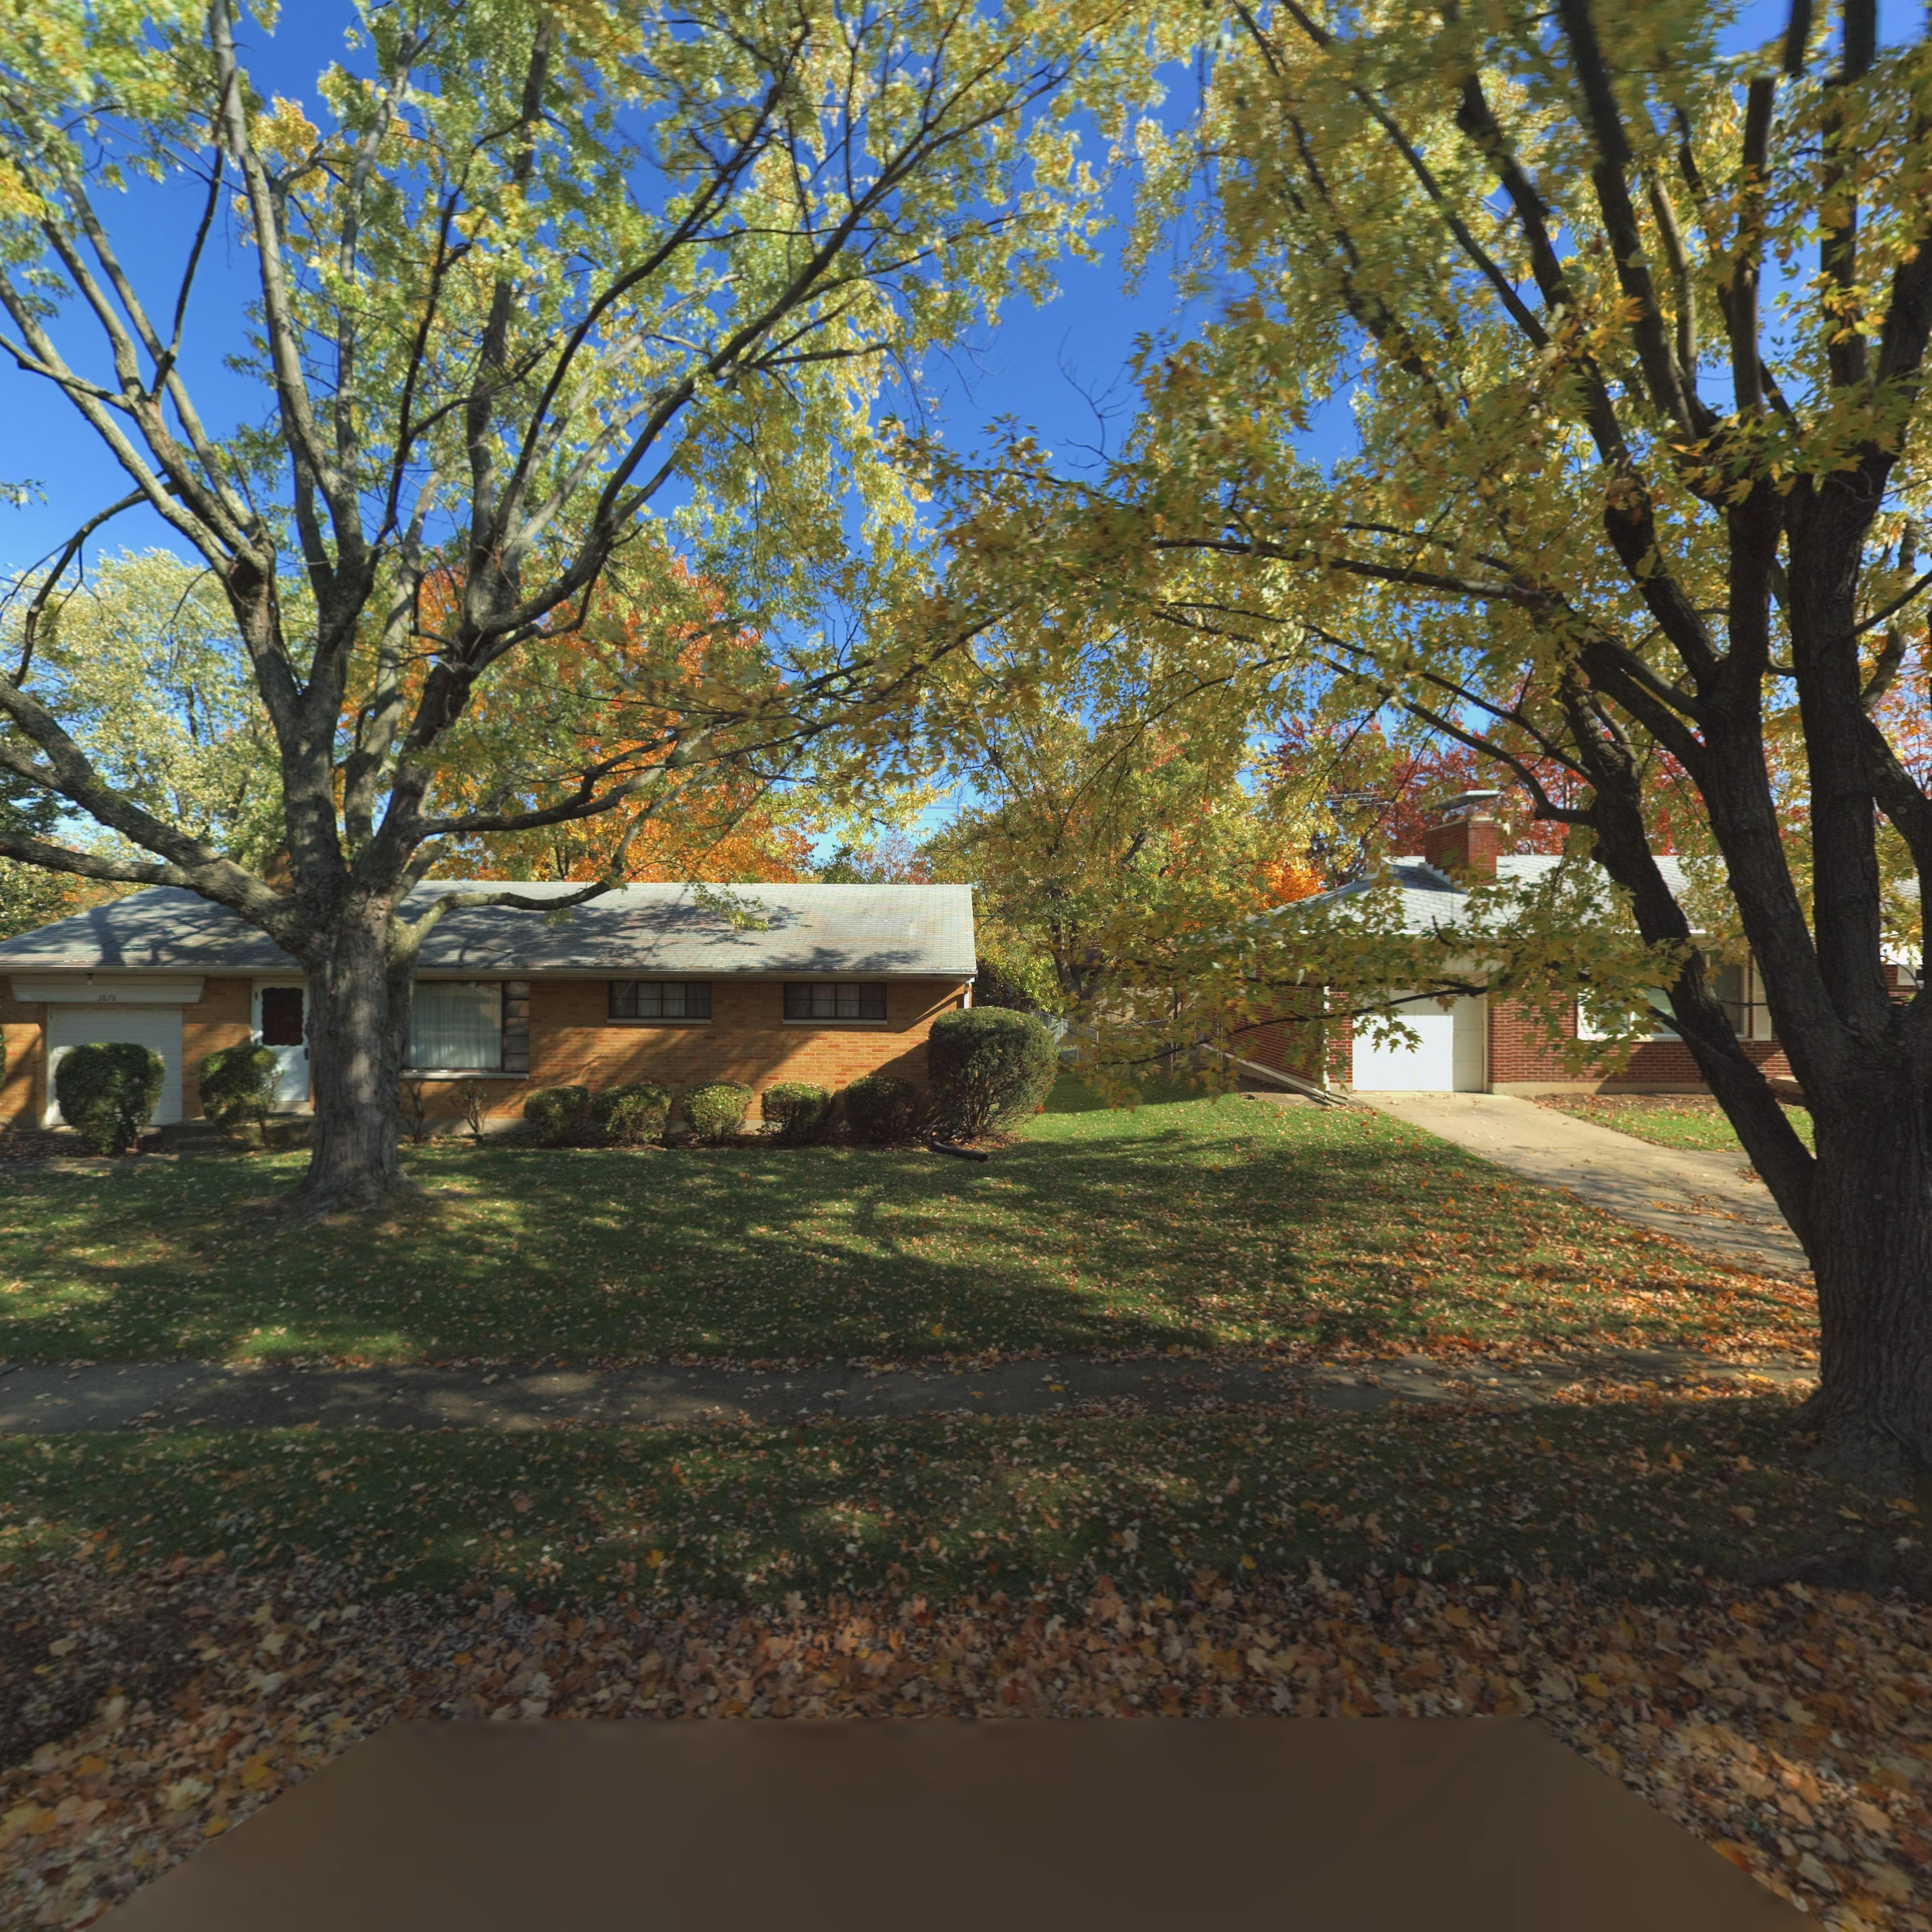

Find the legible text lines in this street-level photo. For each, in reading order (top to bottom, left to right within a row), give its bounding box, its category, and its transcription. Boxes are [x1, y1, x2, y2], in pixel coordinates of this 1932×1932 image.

[97, 994, 117, 1003] StreetNumber: 38*6